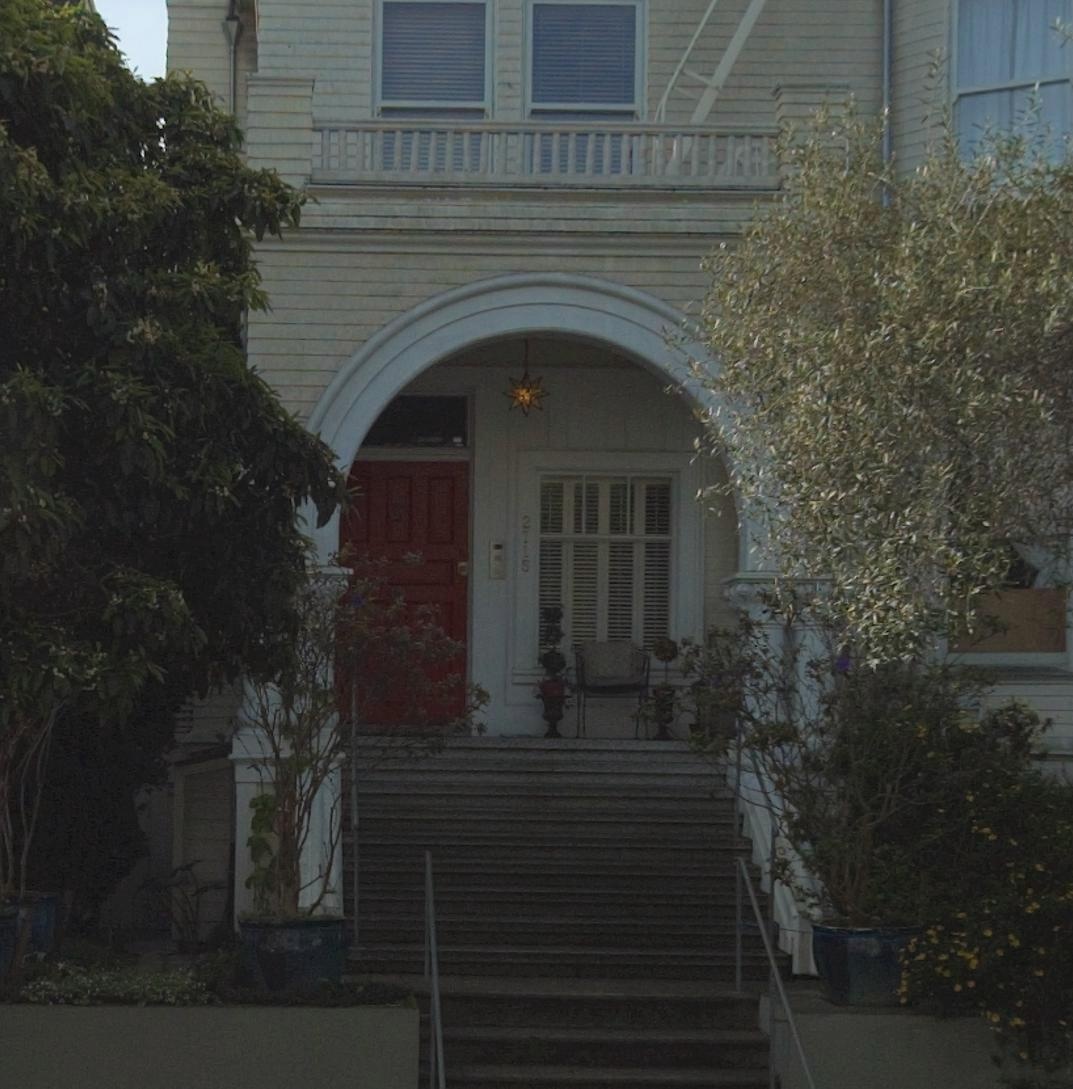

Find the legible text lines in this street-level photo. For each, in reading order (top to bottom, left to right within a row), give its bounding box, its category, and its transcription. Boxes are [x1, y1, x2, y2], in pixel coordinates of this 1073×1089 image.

[517, 513, 533, 574] StreetNumber: 2715